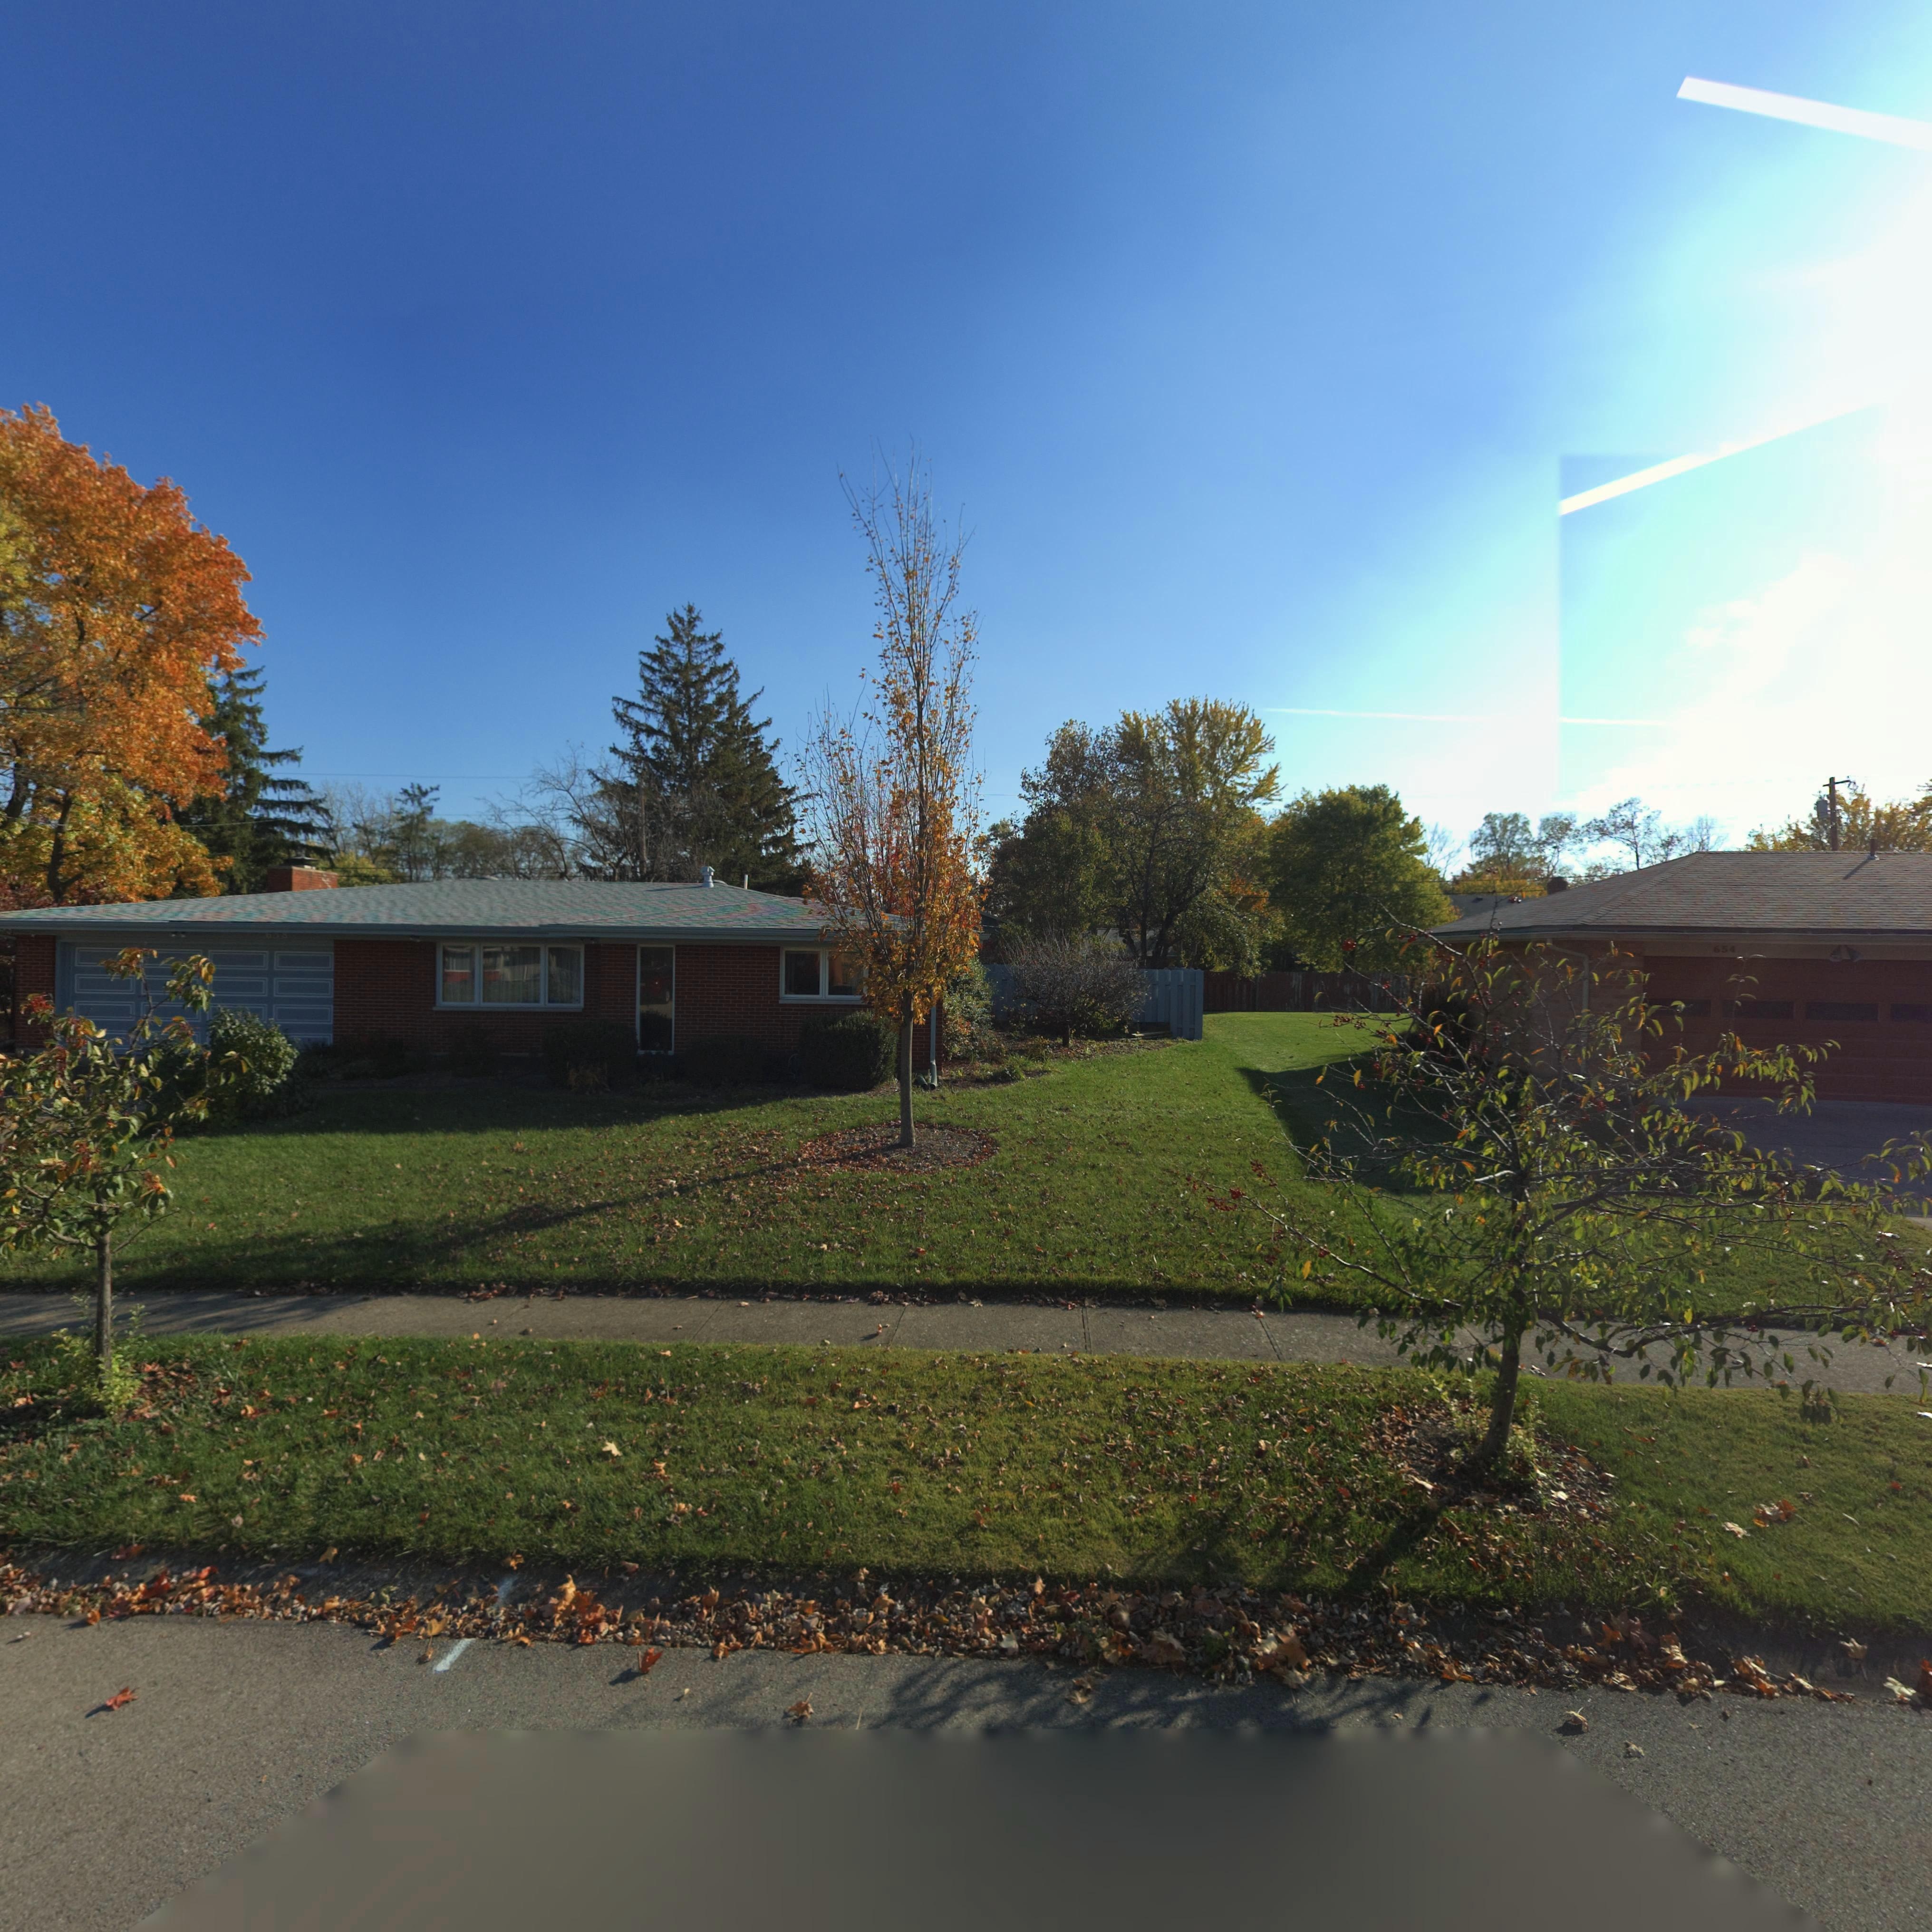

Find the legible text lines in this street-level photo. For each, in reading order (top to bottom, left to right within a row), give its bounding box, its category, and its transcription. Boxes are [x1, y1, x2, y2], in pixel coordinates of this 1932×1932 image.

[265, 932, 287, 938] StreetNumber: 658